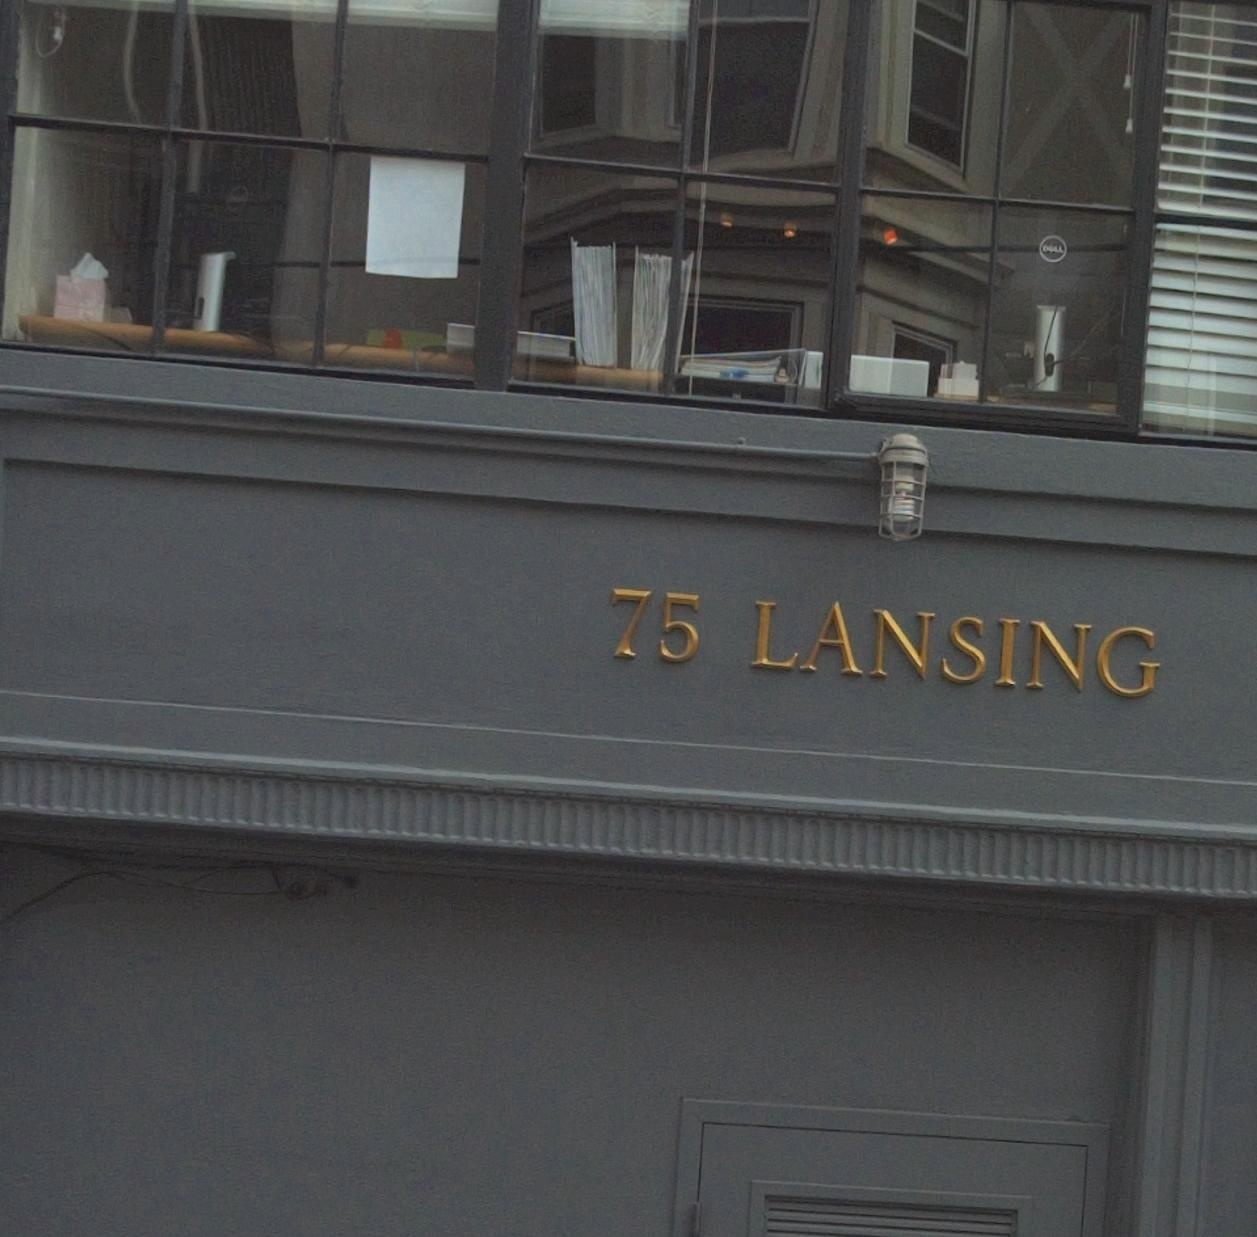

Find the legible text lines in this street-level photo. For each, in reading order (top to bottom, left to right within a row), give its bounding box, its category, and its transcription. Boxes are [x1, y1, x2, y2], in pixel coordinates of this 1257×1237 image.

[608, 584, 705, 668] StreetNumber: 75
[744, 594, 1164, 703] StreetName: LANSING